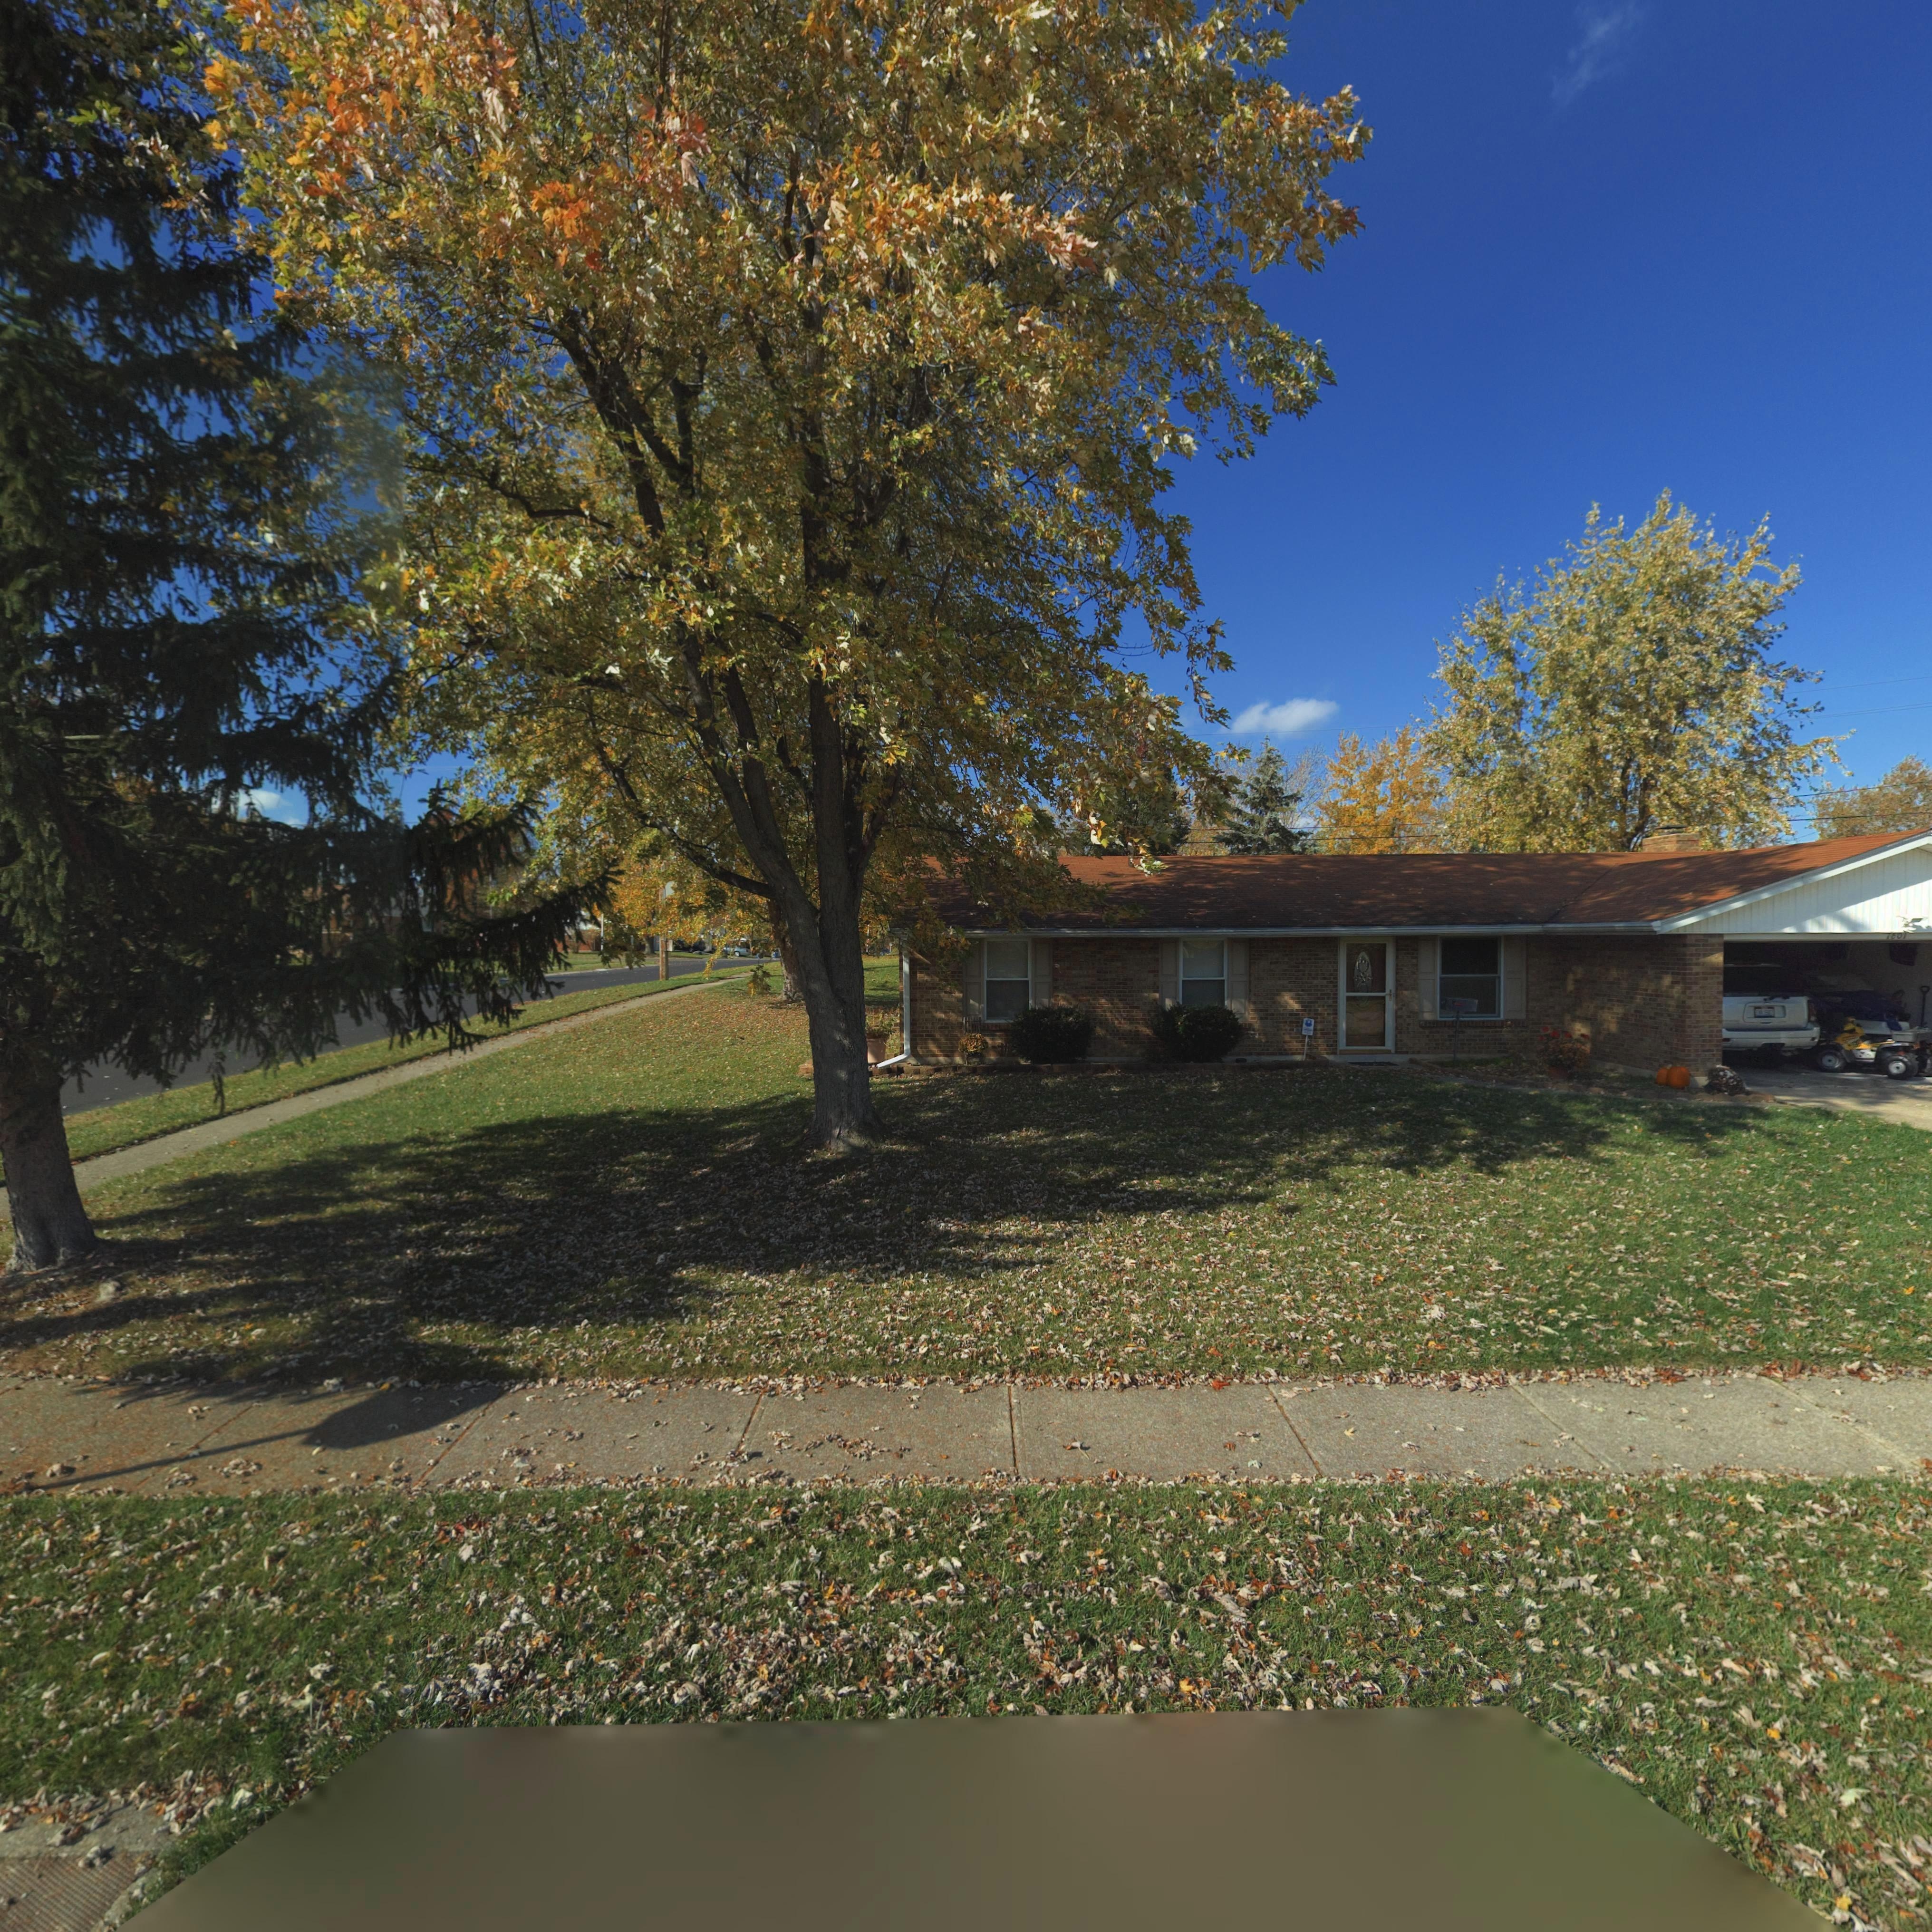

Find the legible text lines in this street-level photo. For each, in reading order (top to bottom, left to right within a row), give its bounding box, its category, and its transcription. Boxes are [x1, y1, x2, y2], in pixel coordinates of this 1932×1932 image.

[1885, 931, 1908, 941] StreetNumber: **0*